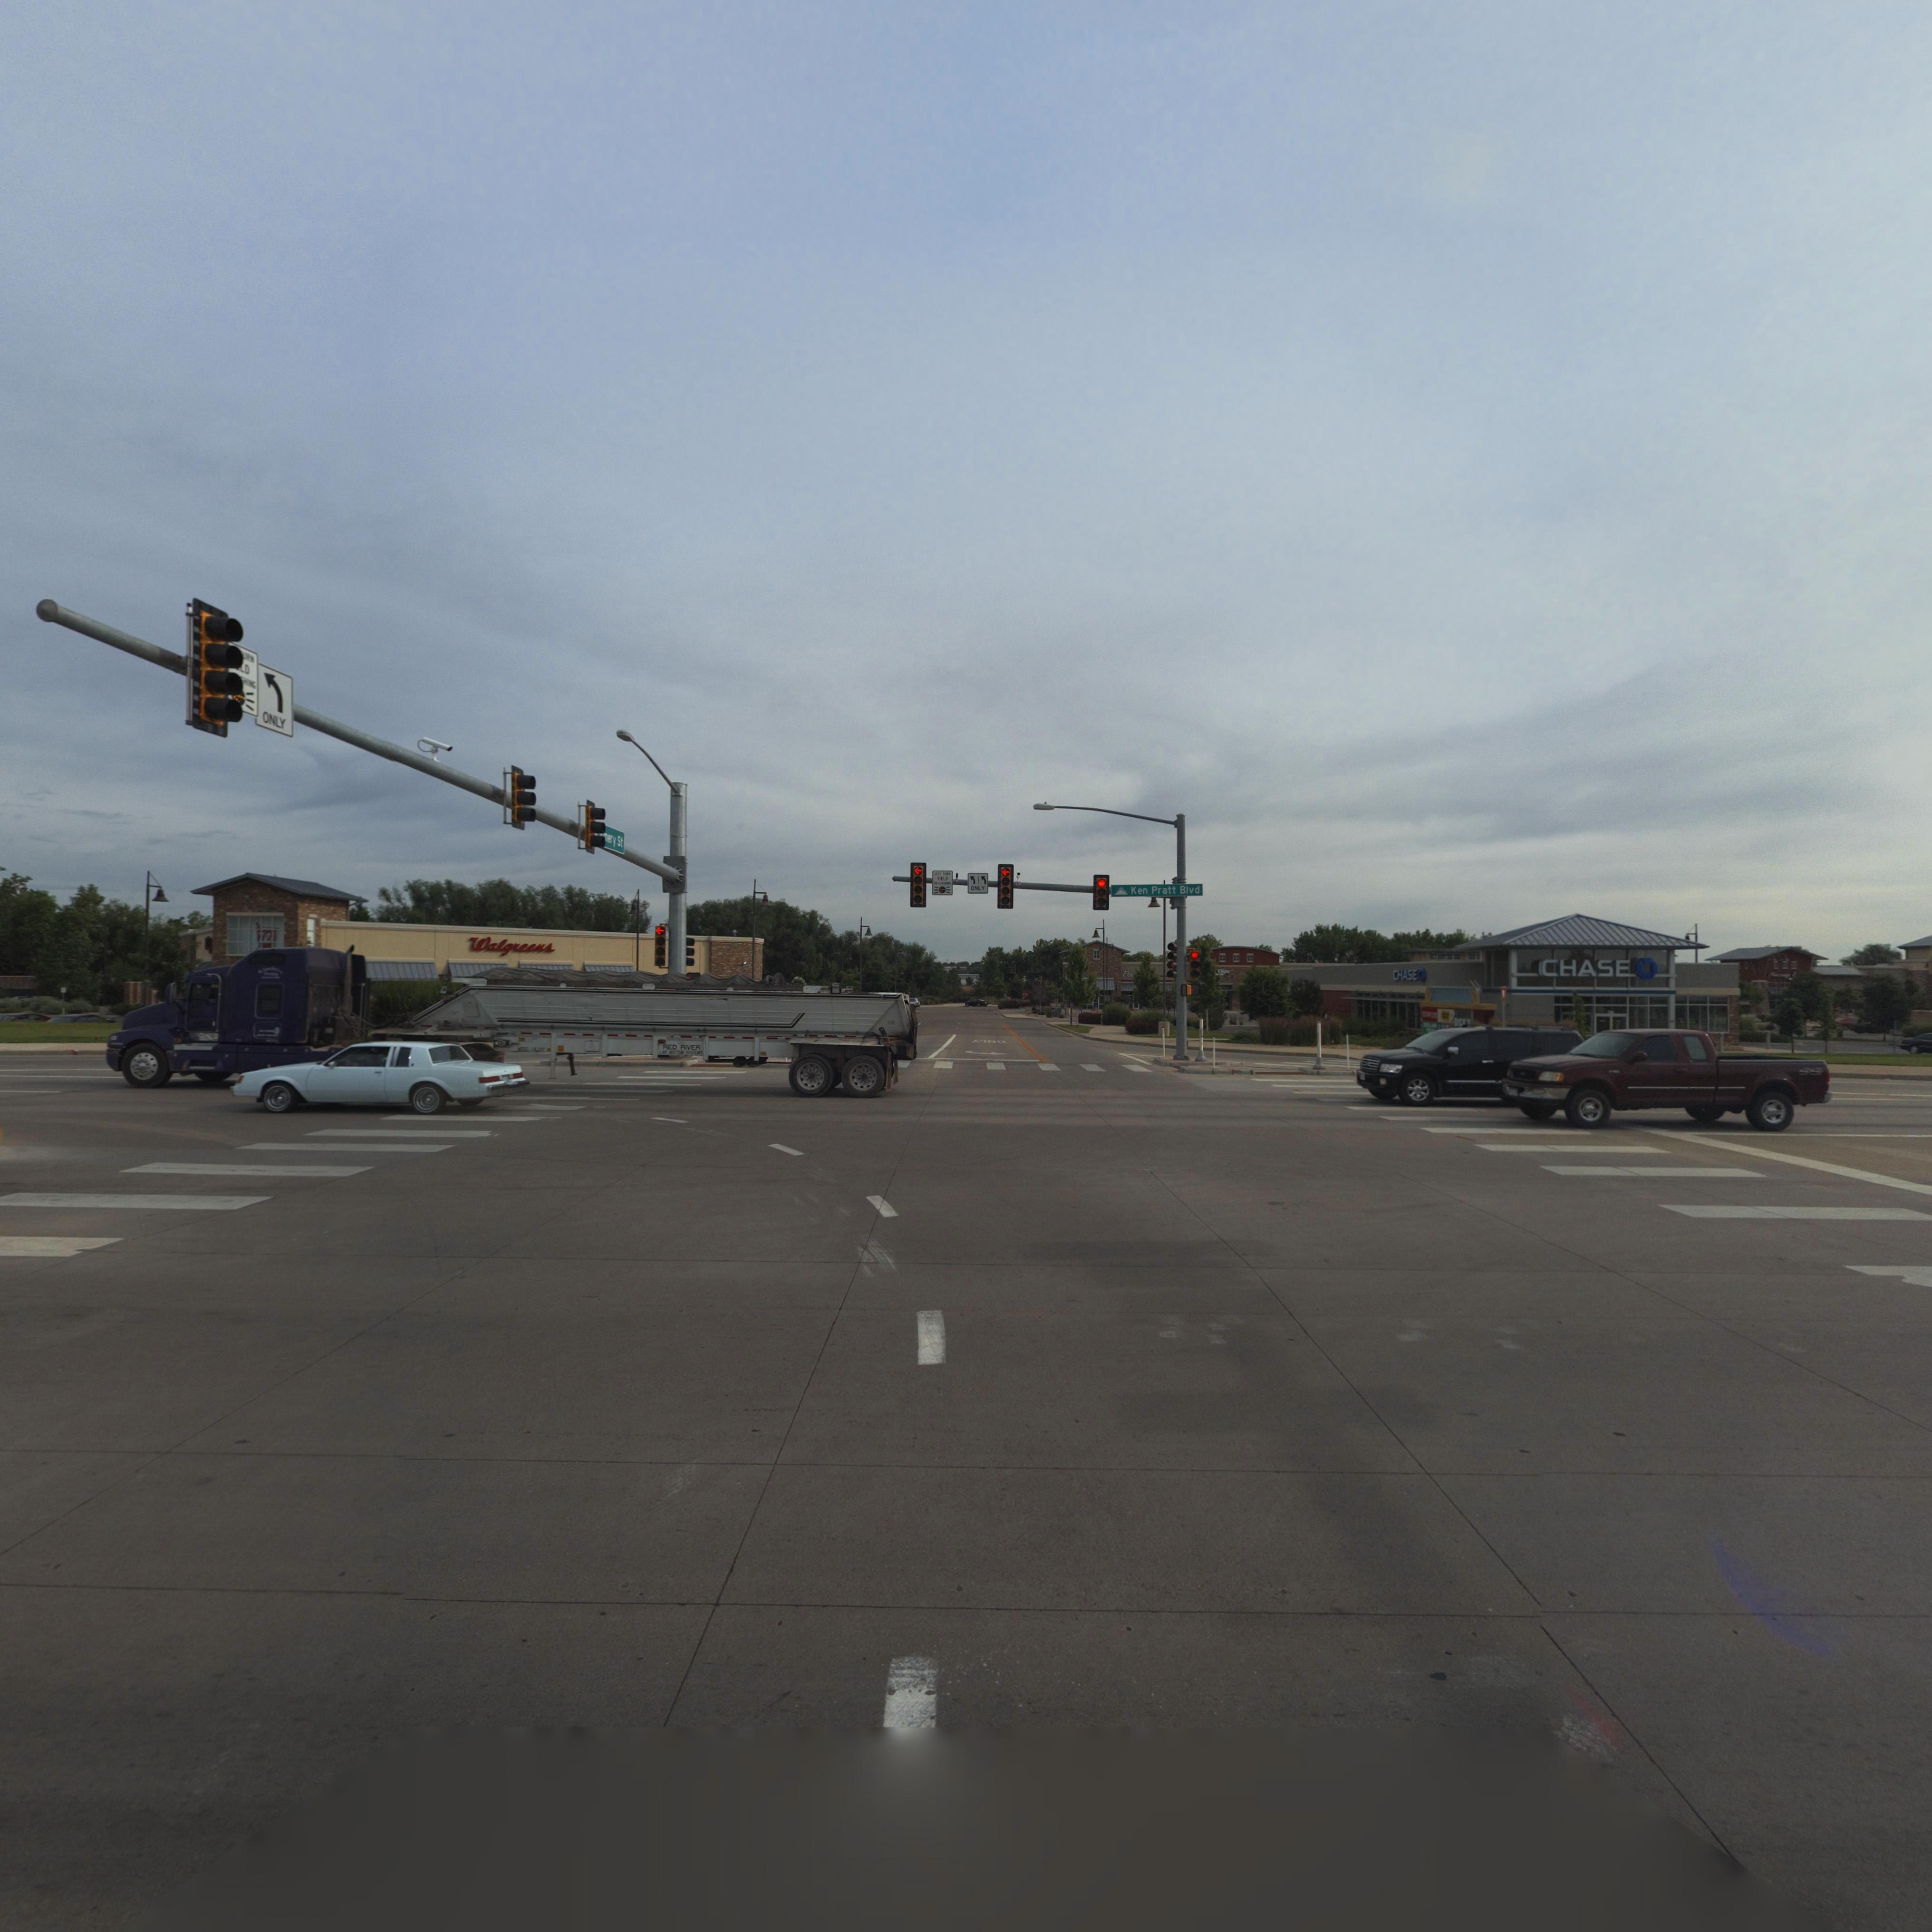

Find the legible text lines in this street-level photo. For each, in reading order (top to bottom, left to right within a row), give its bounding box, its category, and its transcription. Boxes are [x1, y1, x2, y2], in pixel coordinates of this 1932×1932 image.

[599, 830, 623, 848] StreetName: *mery St
[1130, 885, 1200, 895] StreetName: Ken Pratt Blvd
[468, 935, 555, 957] BusinessName: Walgreens
[1121, 969, 1136, 977] BusinessName: P**
[1217, 969, 1230, 975] BusinessName: Clips
[1392, 969, 1418, 981] BusinessName: CHASE
[1537, 958, 1630, 977] BusinessName: CHASE
[1768, 971, 1797, 979] BusinessName: Ma***g* E
[1422, 1011, 1438, 1018] BusinessName: STAPLES
[1423, 1022, 1437, 1028] BusinessName: DOLLAR
[1453, 1014, 1471, 1027] BusinessName: DICK'S